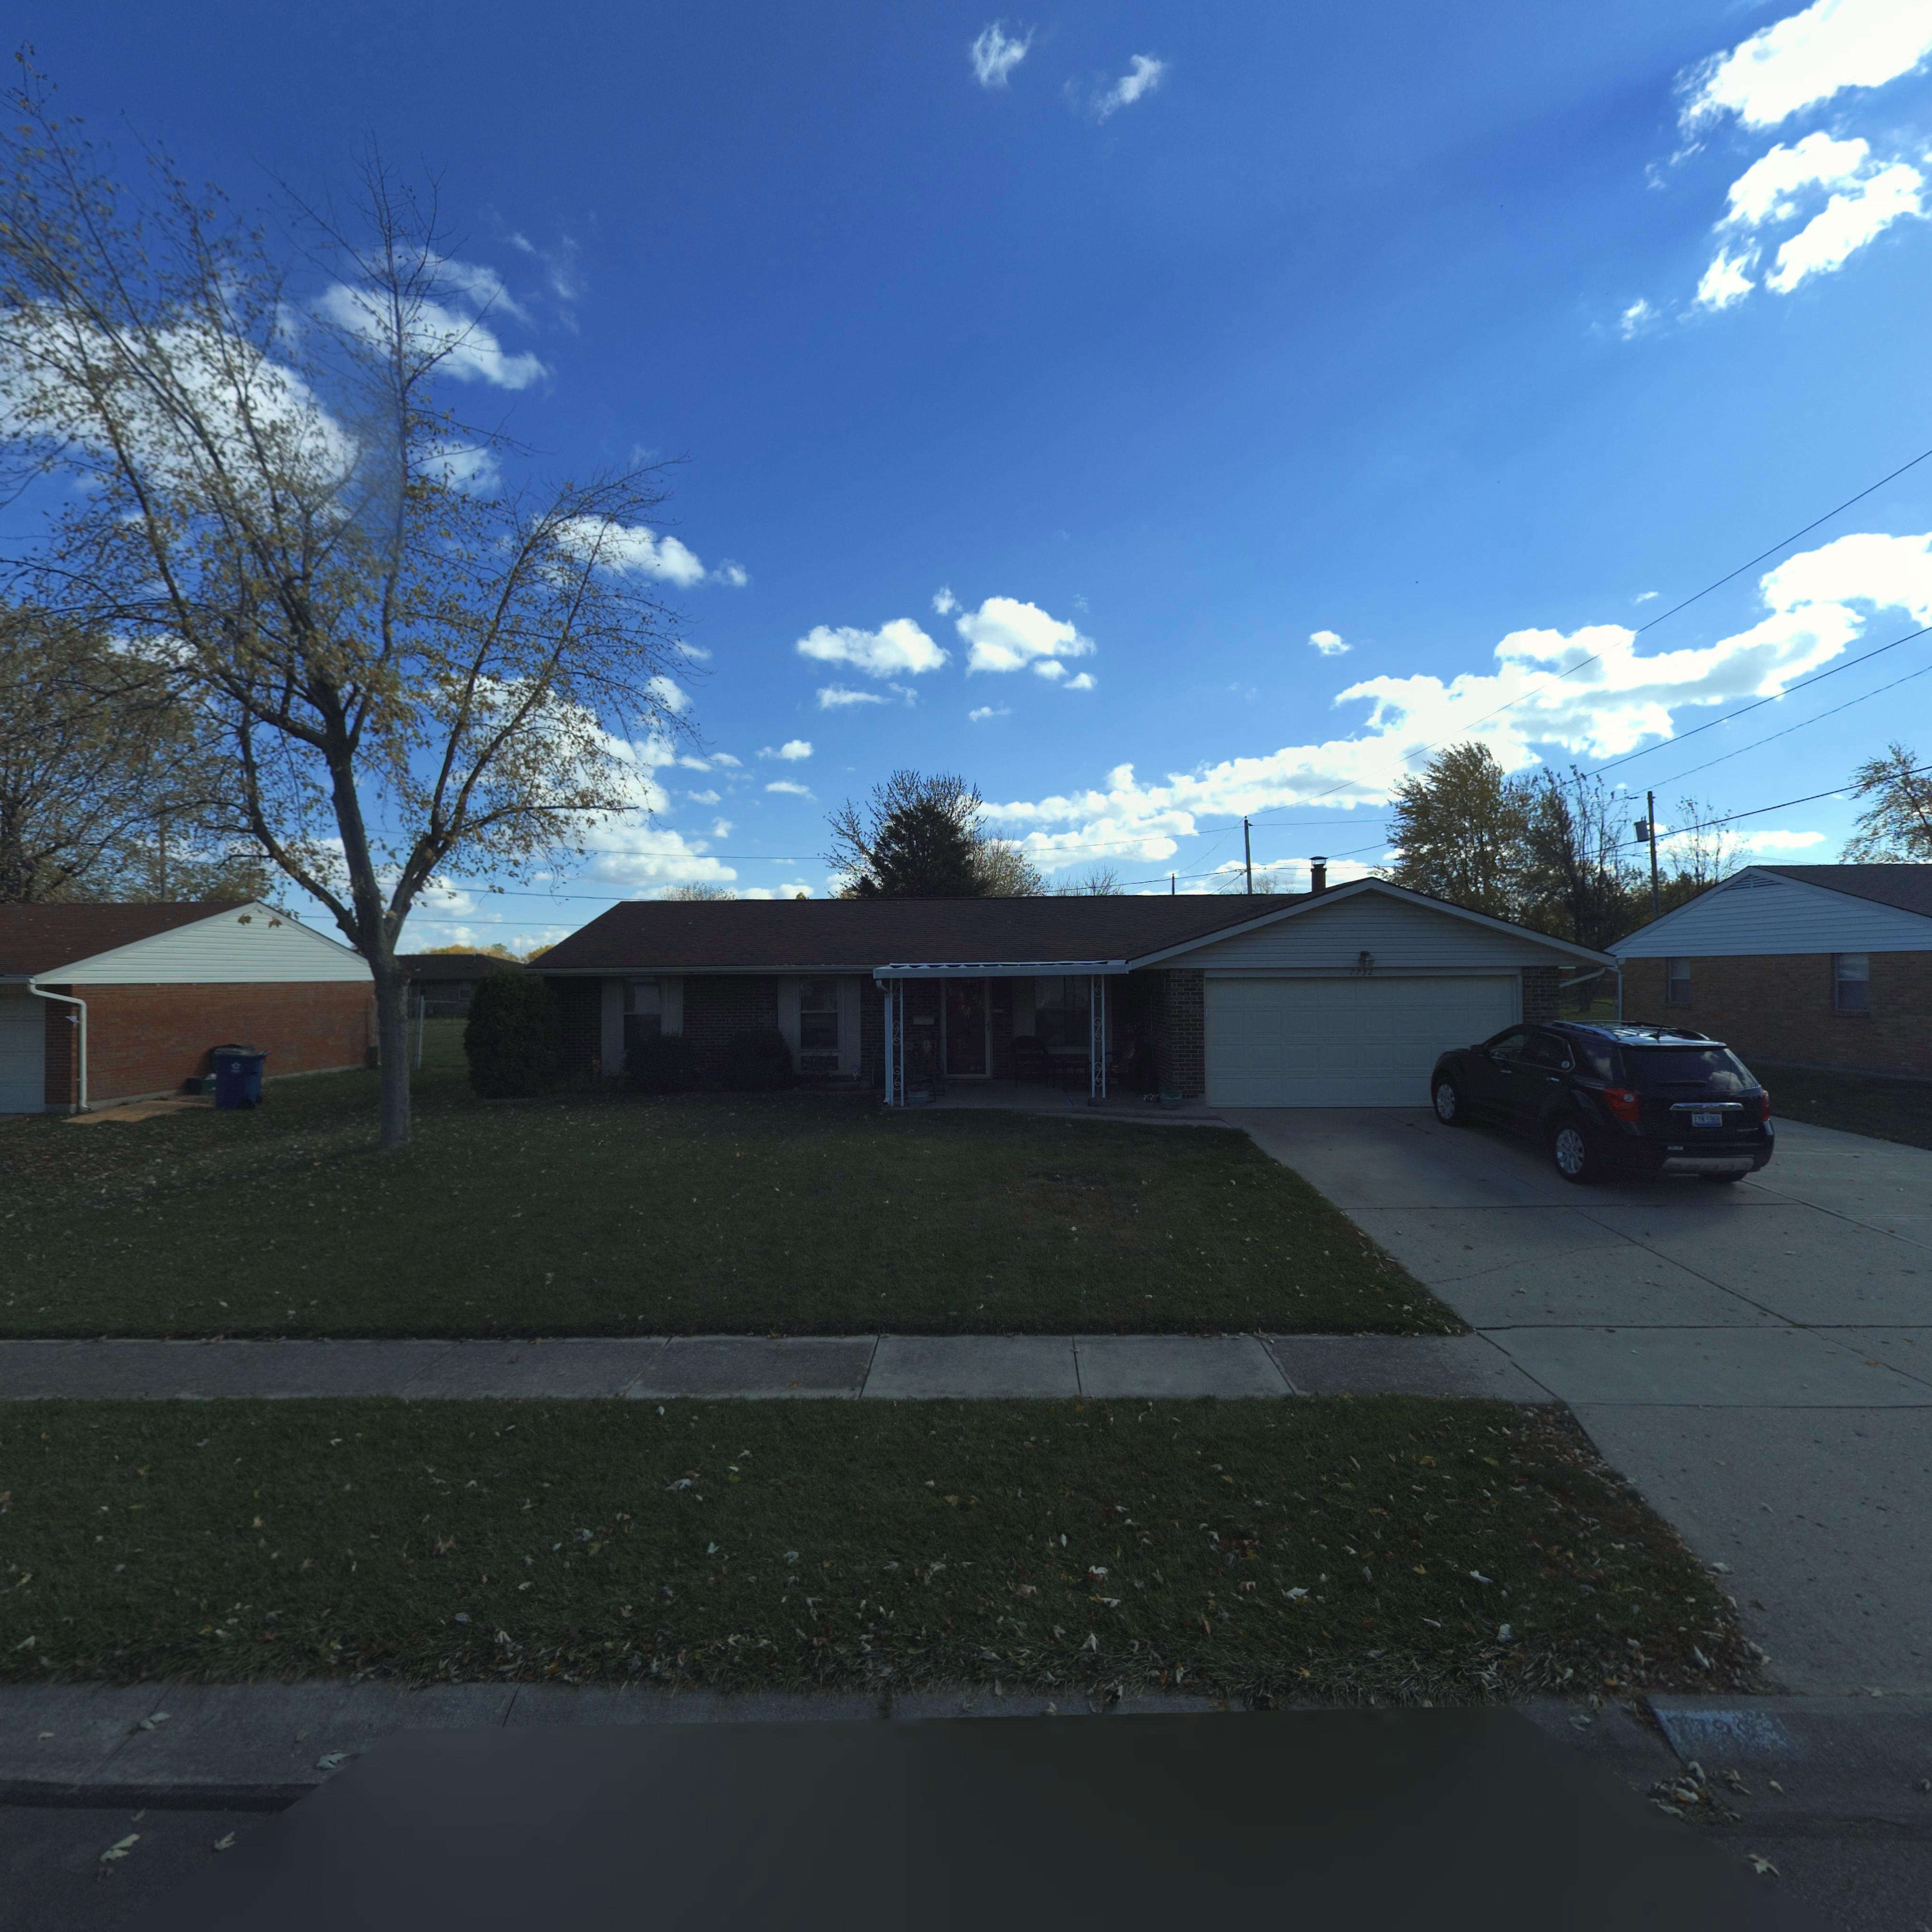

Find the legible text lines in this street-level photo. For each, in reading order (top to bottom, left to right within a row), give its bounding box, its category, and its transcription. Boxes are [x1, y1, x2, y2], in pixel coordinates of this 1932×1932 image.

[1348, 967, 1373, 977] StreetNumber: 7732